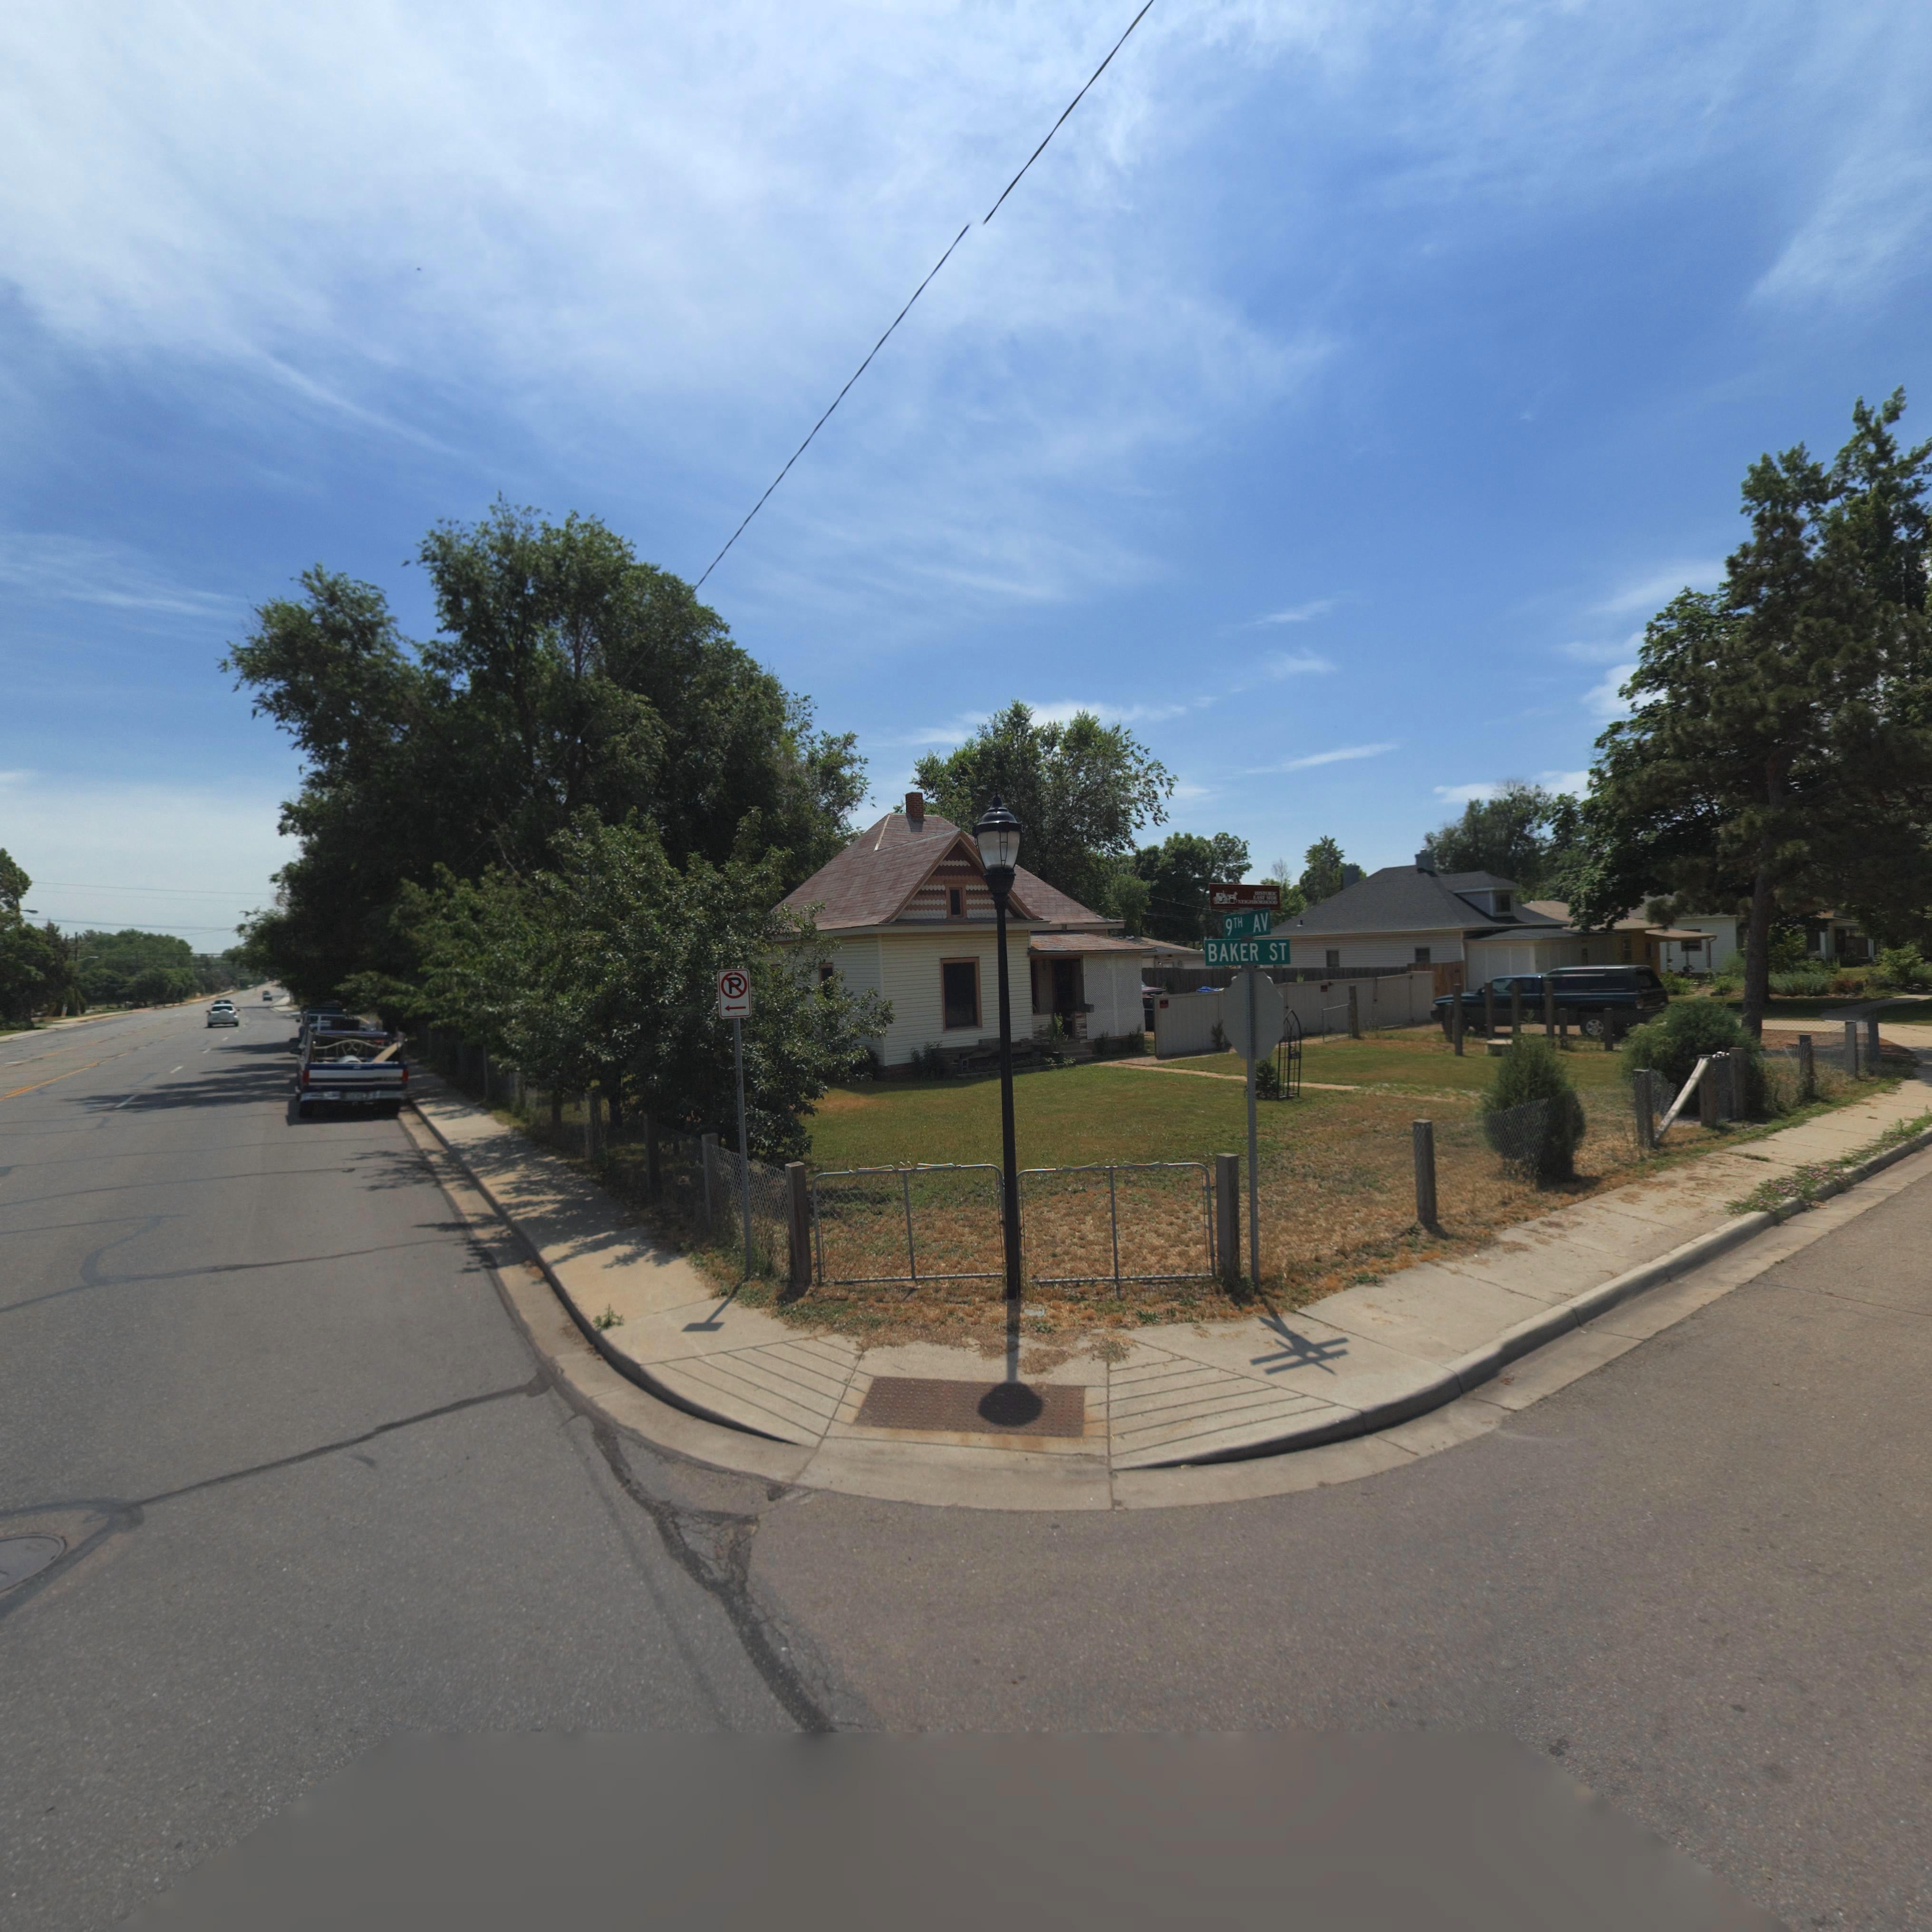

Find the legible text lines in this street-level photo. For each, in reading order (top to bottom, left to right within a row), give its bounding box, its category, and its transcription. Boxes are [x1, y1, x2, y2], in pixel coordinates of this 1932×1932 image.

[1224, 911, 1269, 937] StreetName: 9TH AV
[1207, 942, 1287, 963] StreetName: BAKER ST